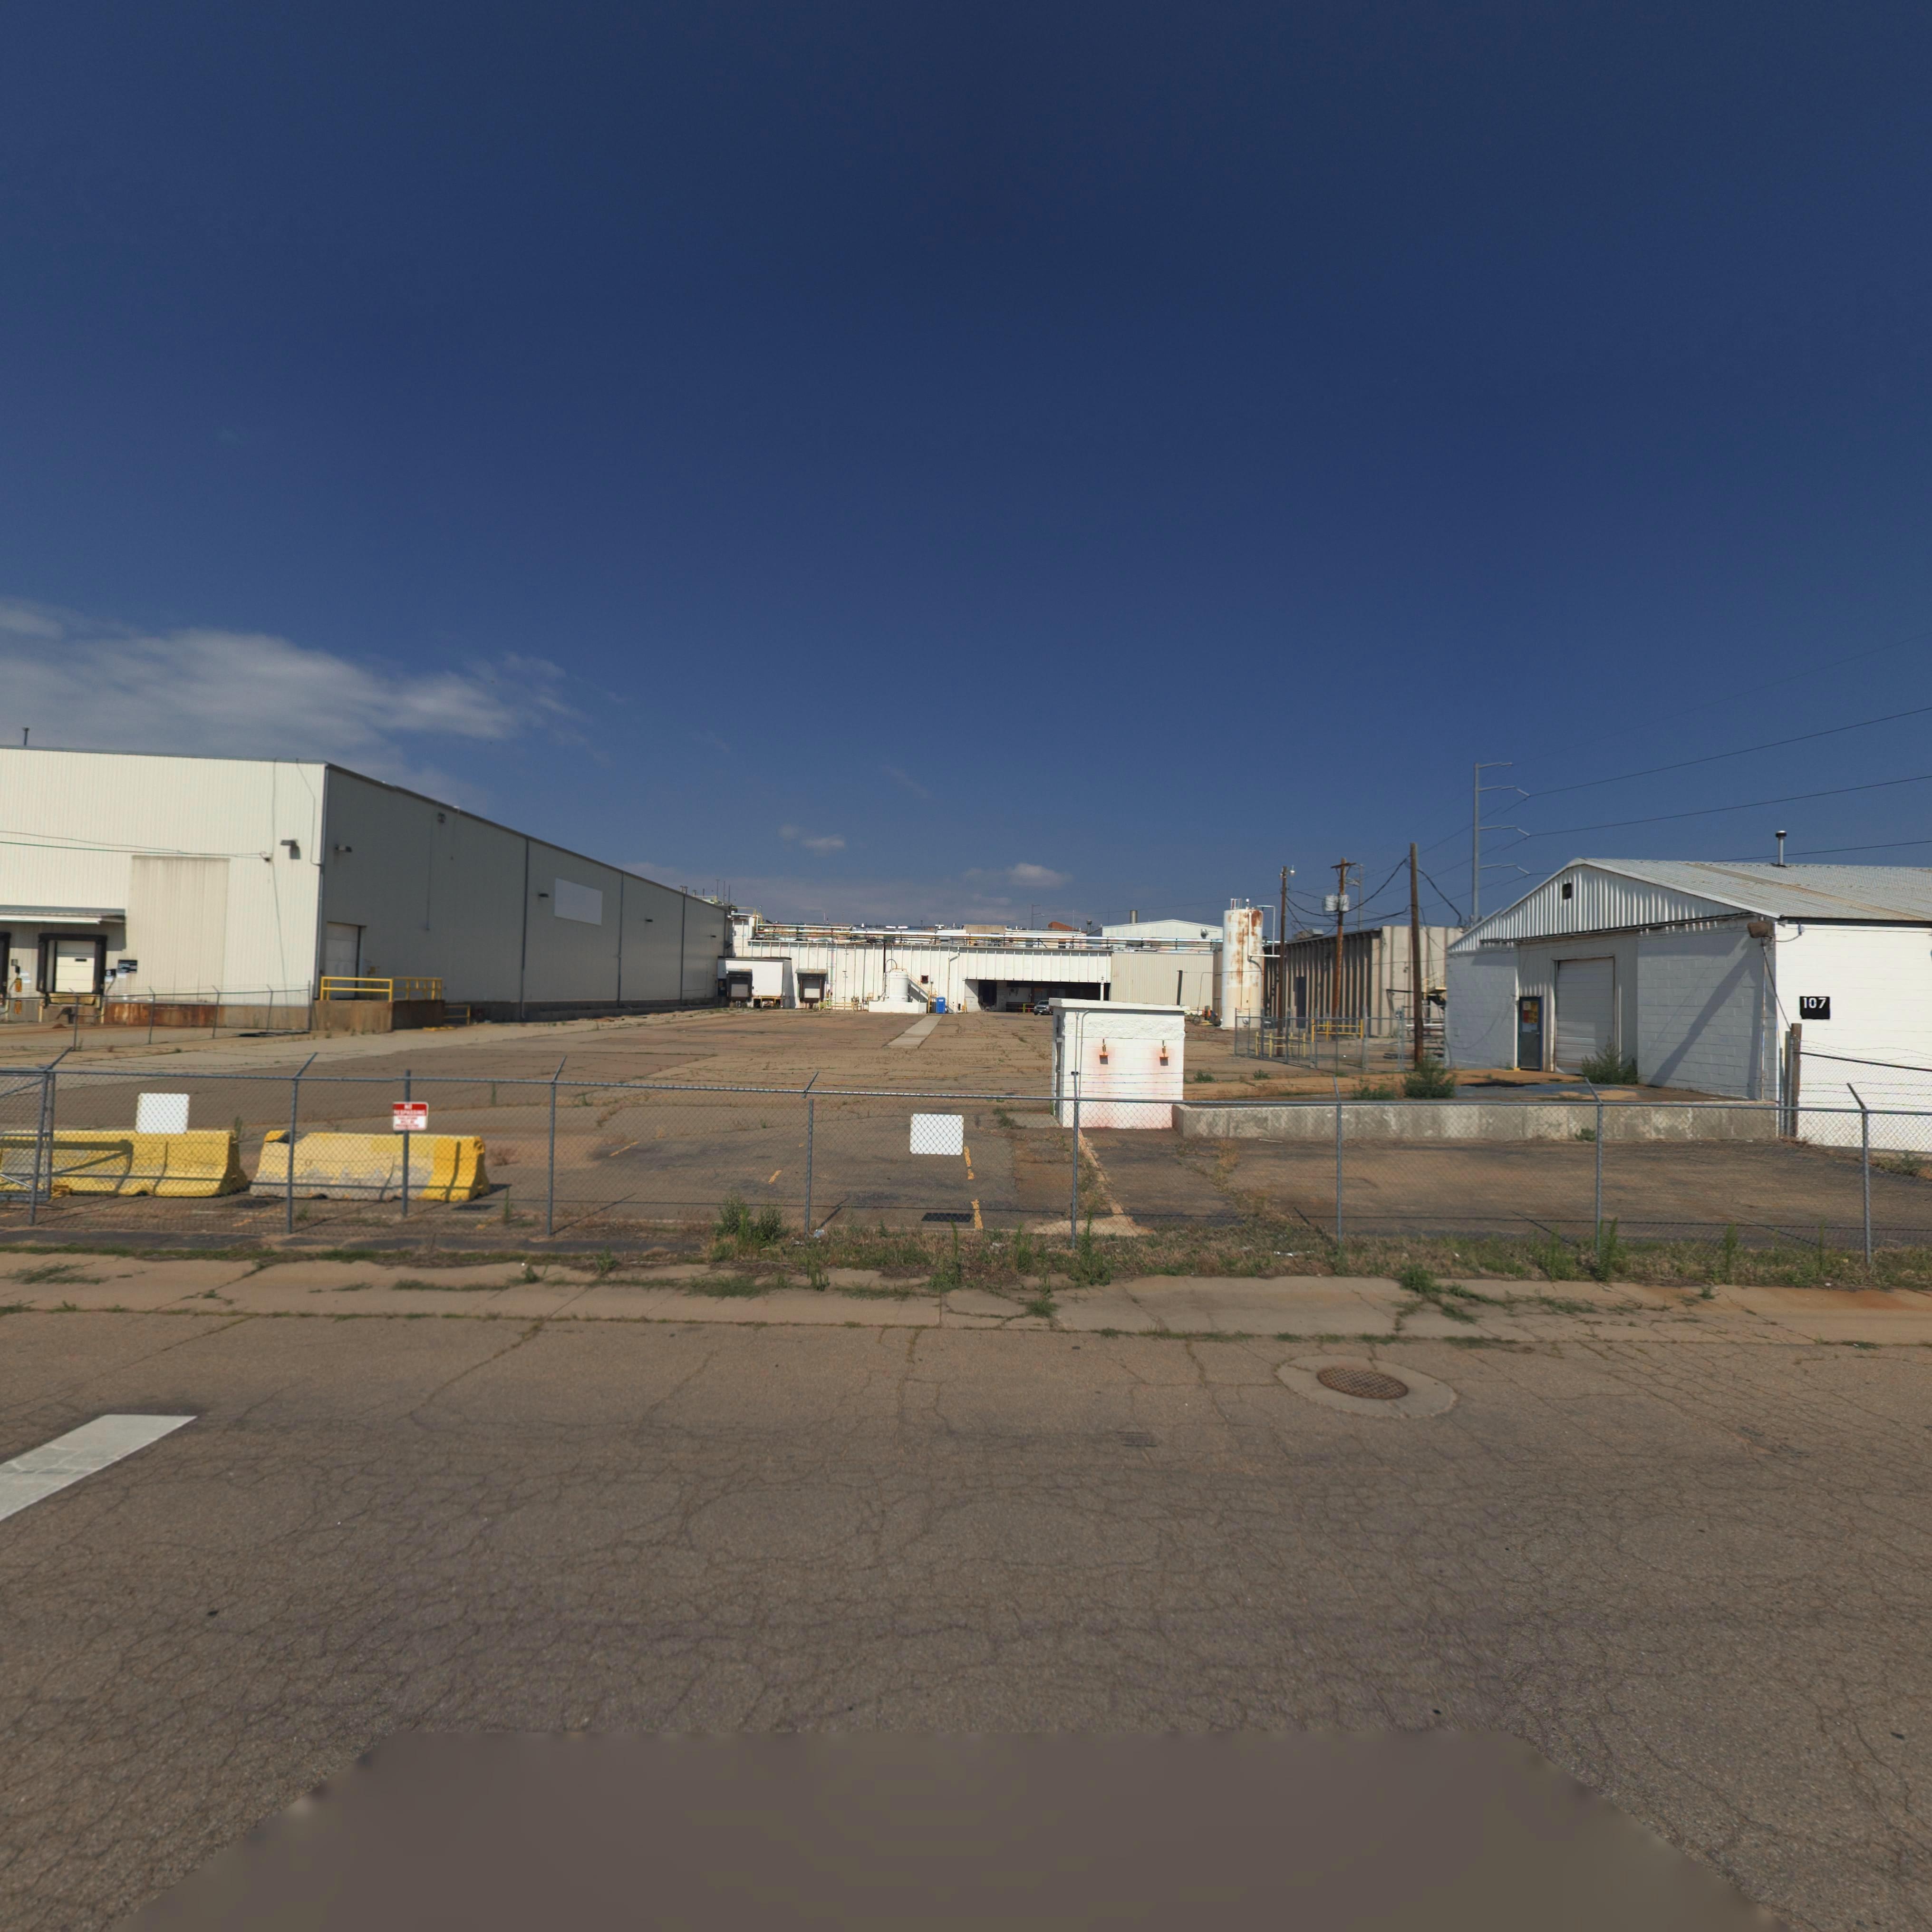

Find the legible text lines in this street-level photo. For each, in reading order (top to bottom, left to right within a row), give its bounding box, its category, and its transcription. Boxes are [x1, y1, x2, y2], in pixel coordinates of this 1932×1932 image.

[1802, 997, 1826, 1009] StreetNumber: 107